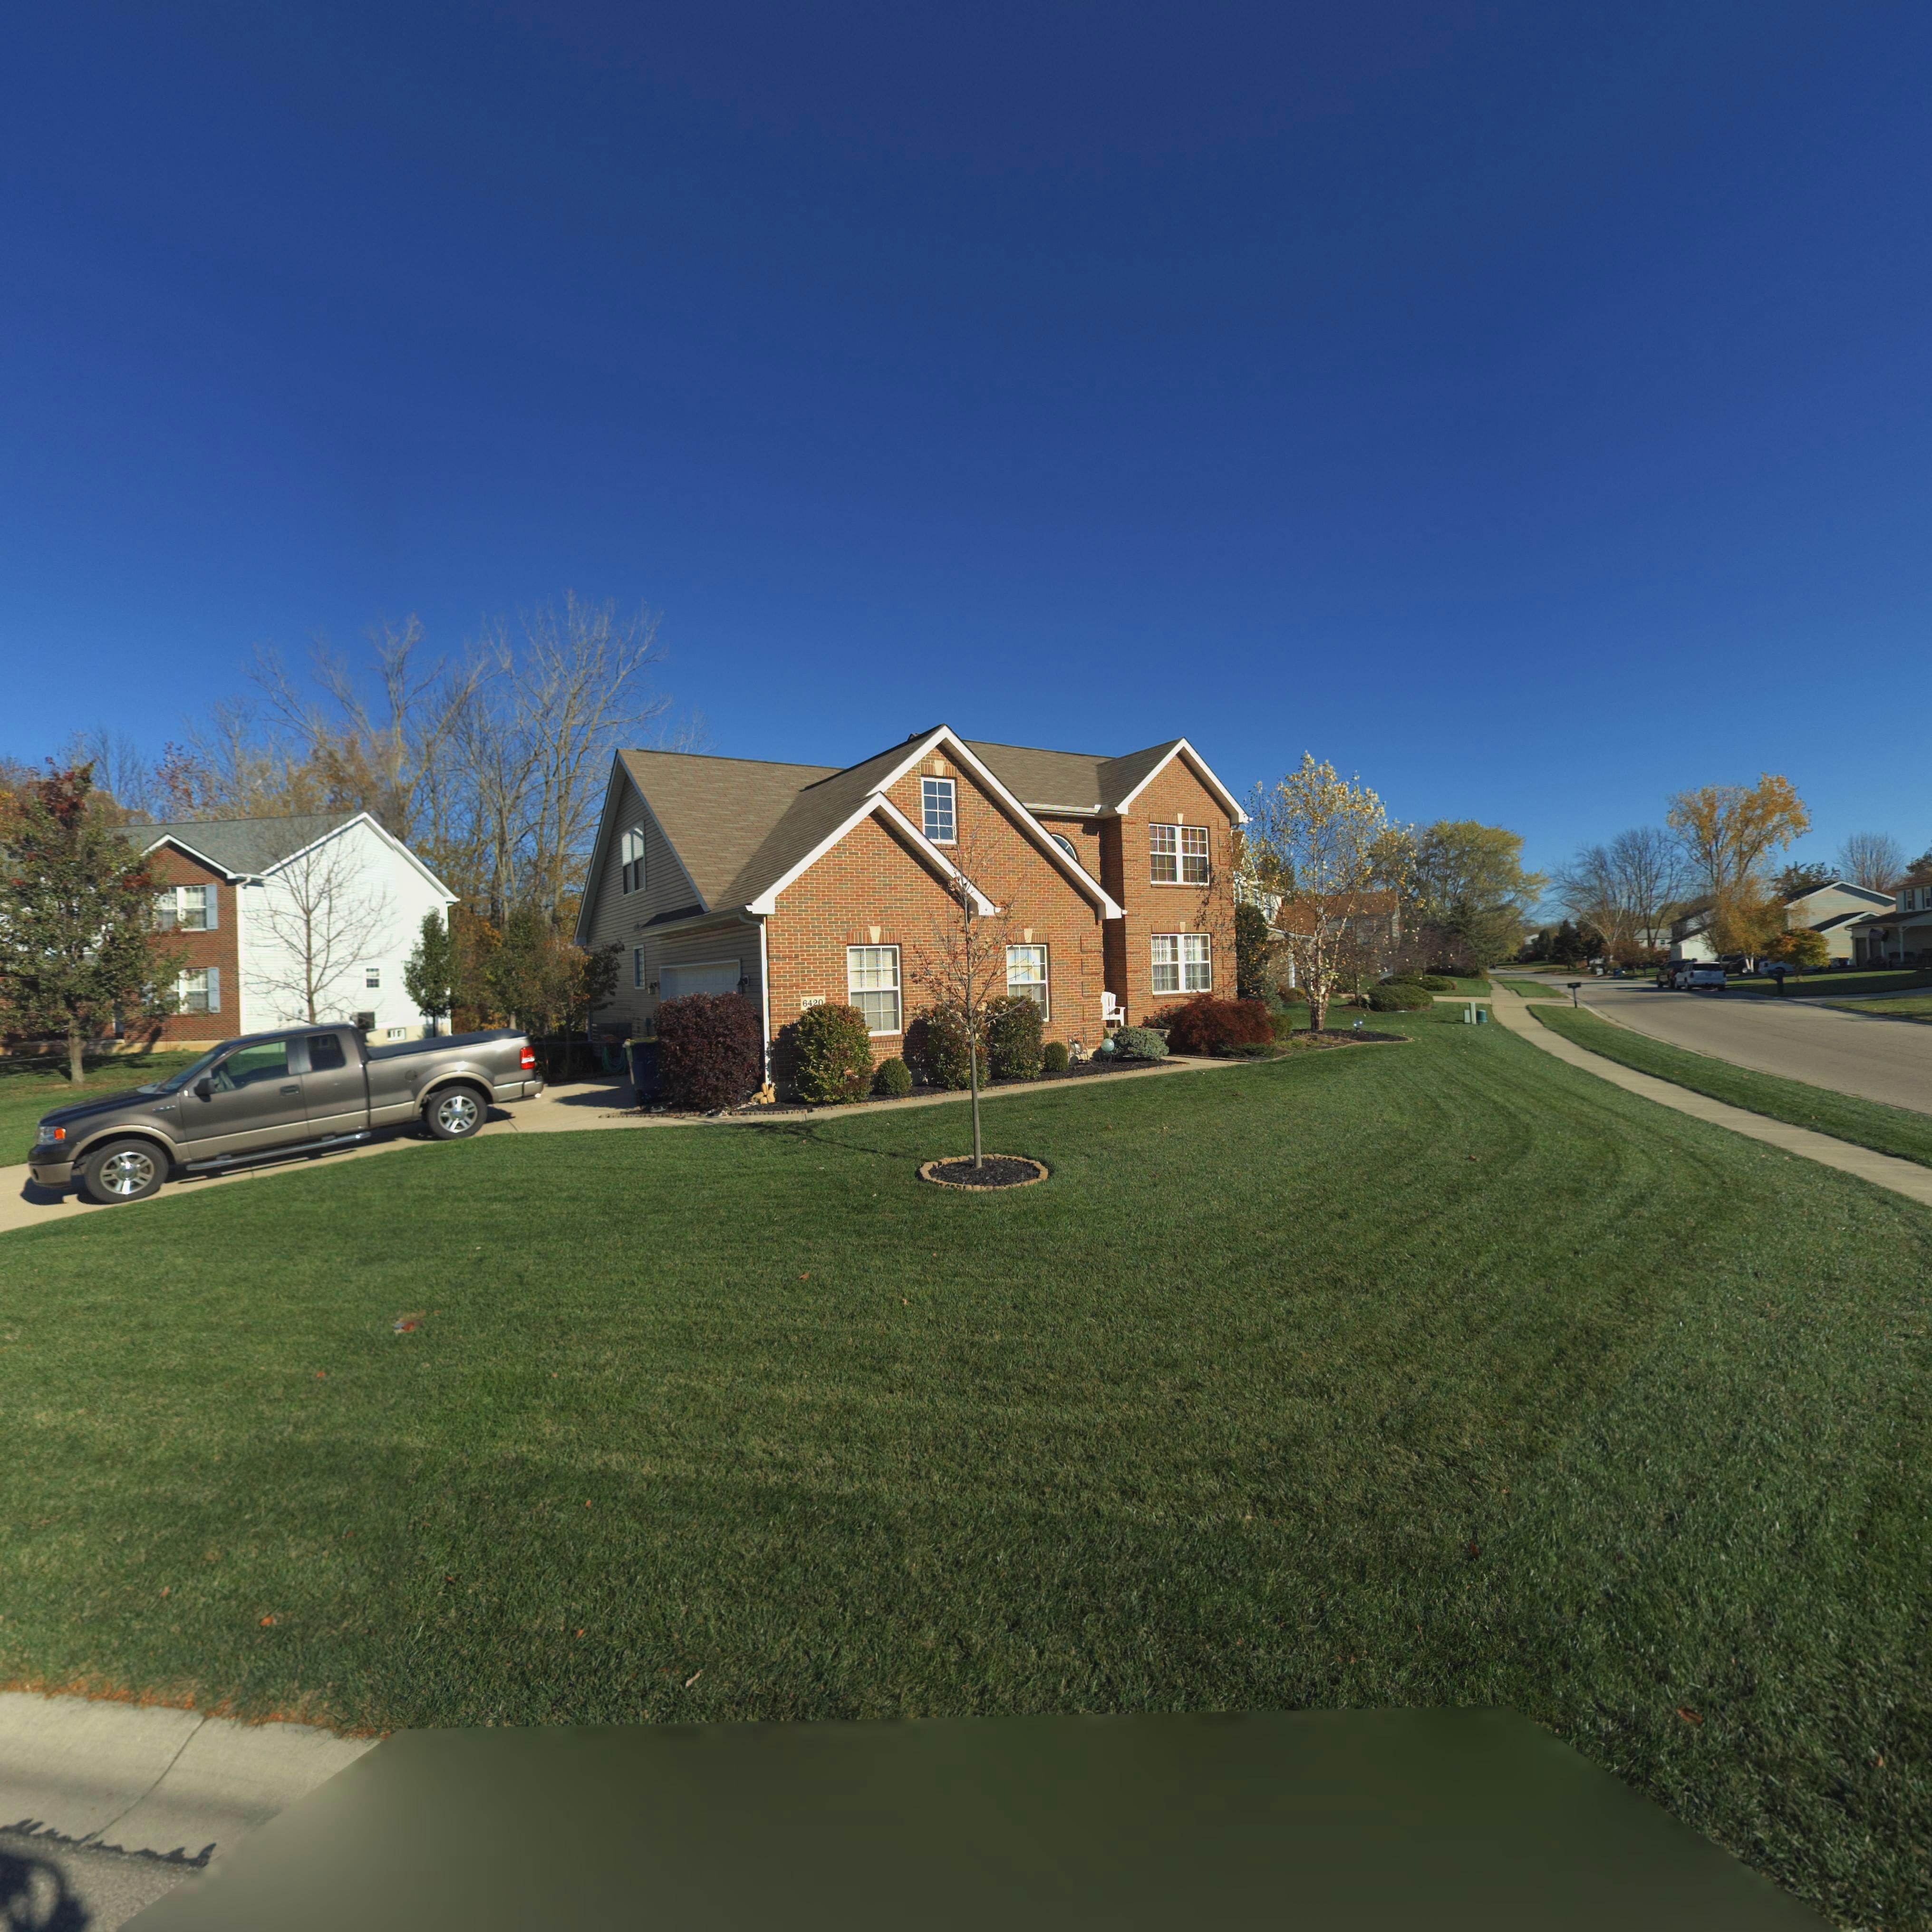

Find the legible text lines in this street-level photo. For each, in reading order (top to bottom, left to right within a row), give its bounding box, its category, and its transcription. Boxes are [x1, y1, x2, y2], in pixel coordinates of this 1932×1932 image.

[802, 998, 824, 1008] StreetNumber: 64*0